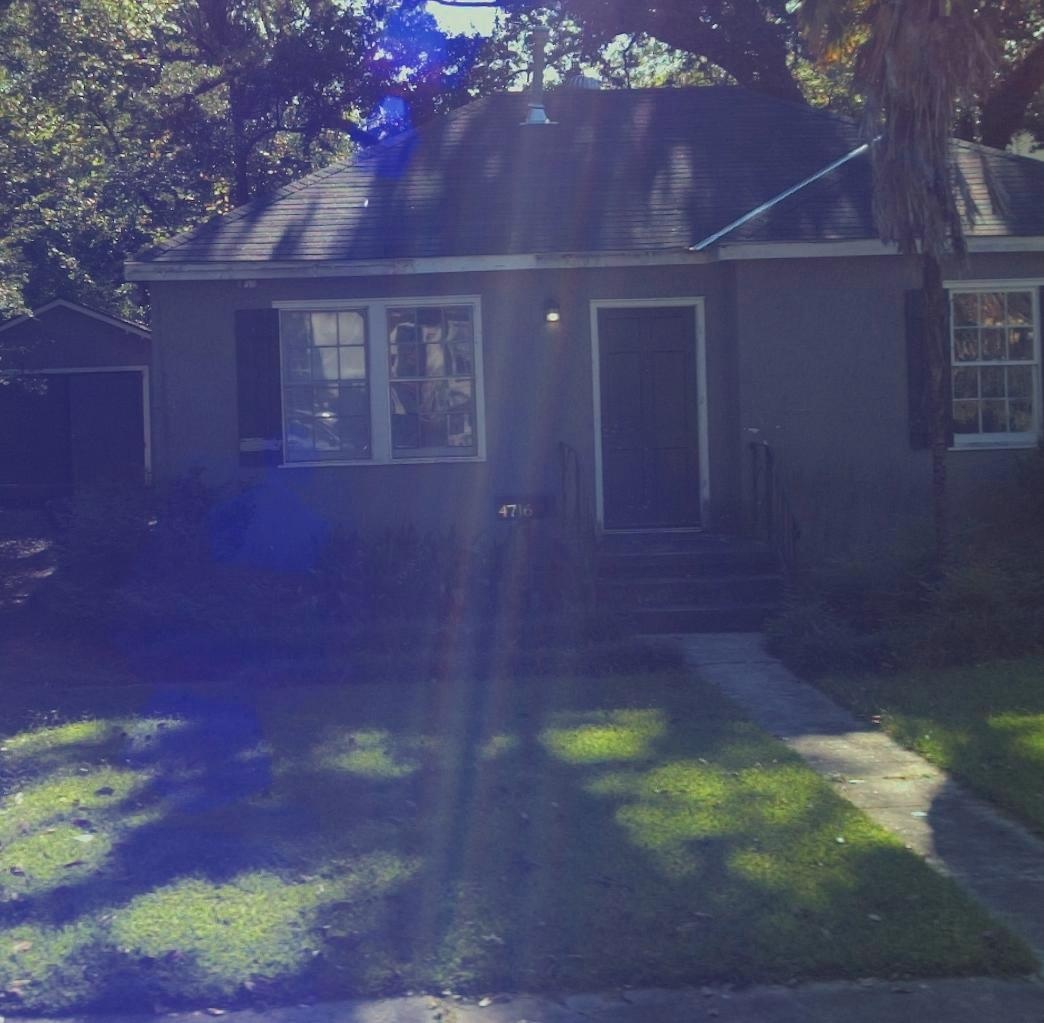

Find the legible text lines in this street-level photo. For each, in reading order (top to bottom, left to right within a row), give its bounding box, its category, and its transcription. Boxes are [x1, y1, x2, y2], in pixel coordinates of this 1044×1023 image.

[495, 500, 536, 521] StreetNumber: 4716